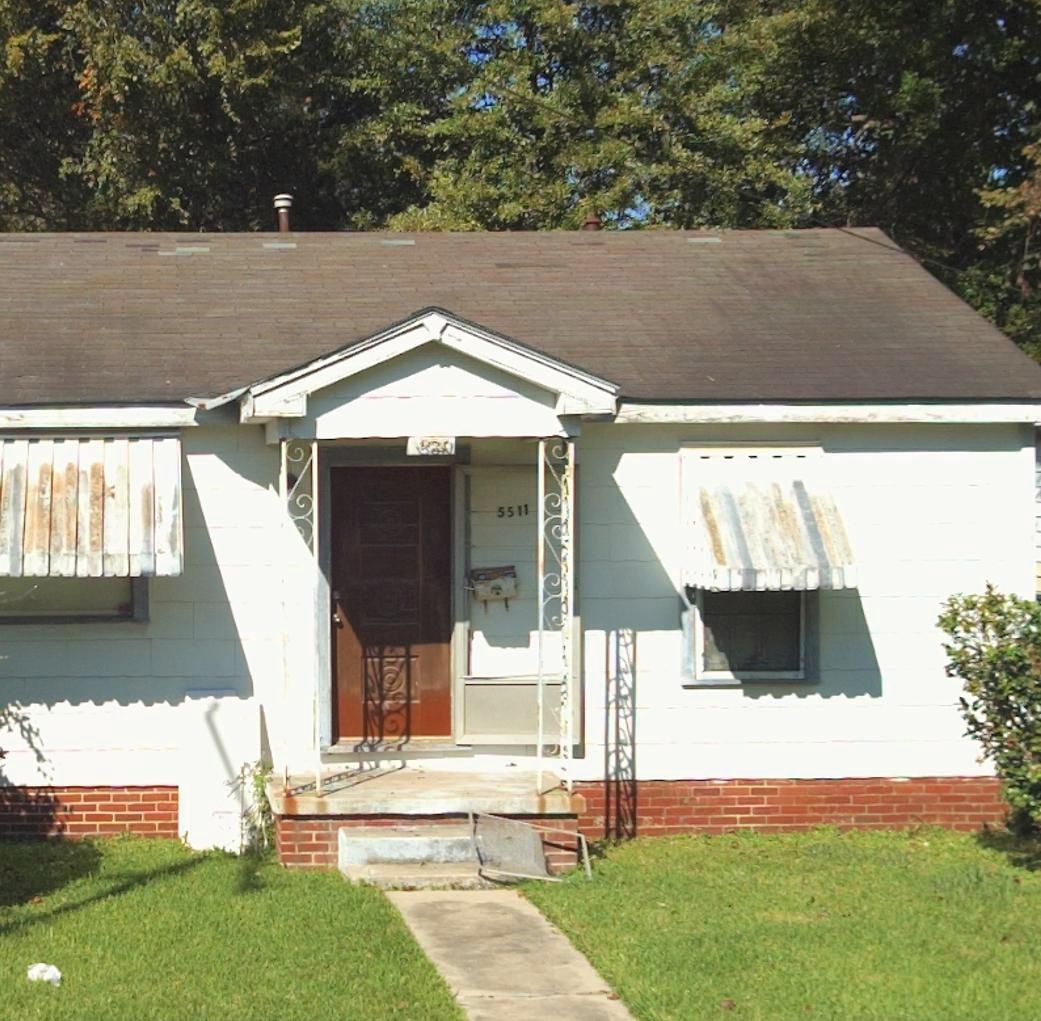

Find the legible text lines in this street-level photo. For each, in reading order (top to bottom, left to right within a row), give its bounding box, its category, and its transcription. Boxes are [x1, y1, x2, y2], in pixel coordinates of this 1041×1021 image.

[496, 502, 529, 519] StreetNumber: 5511